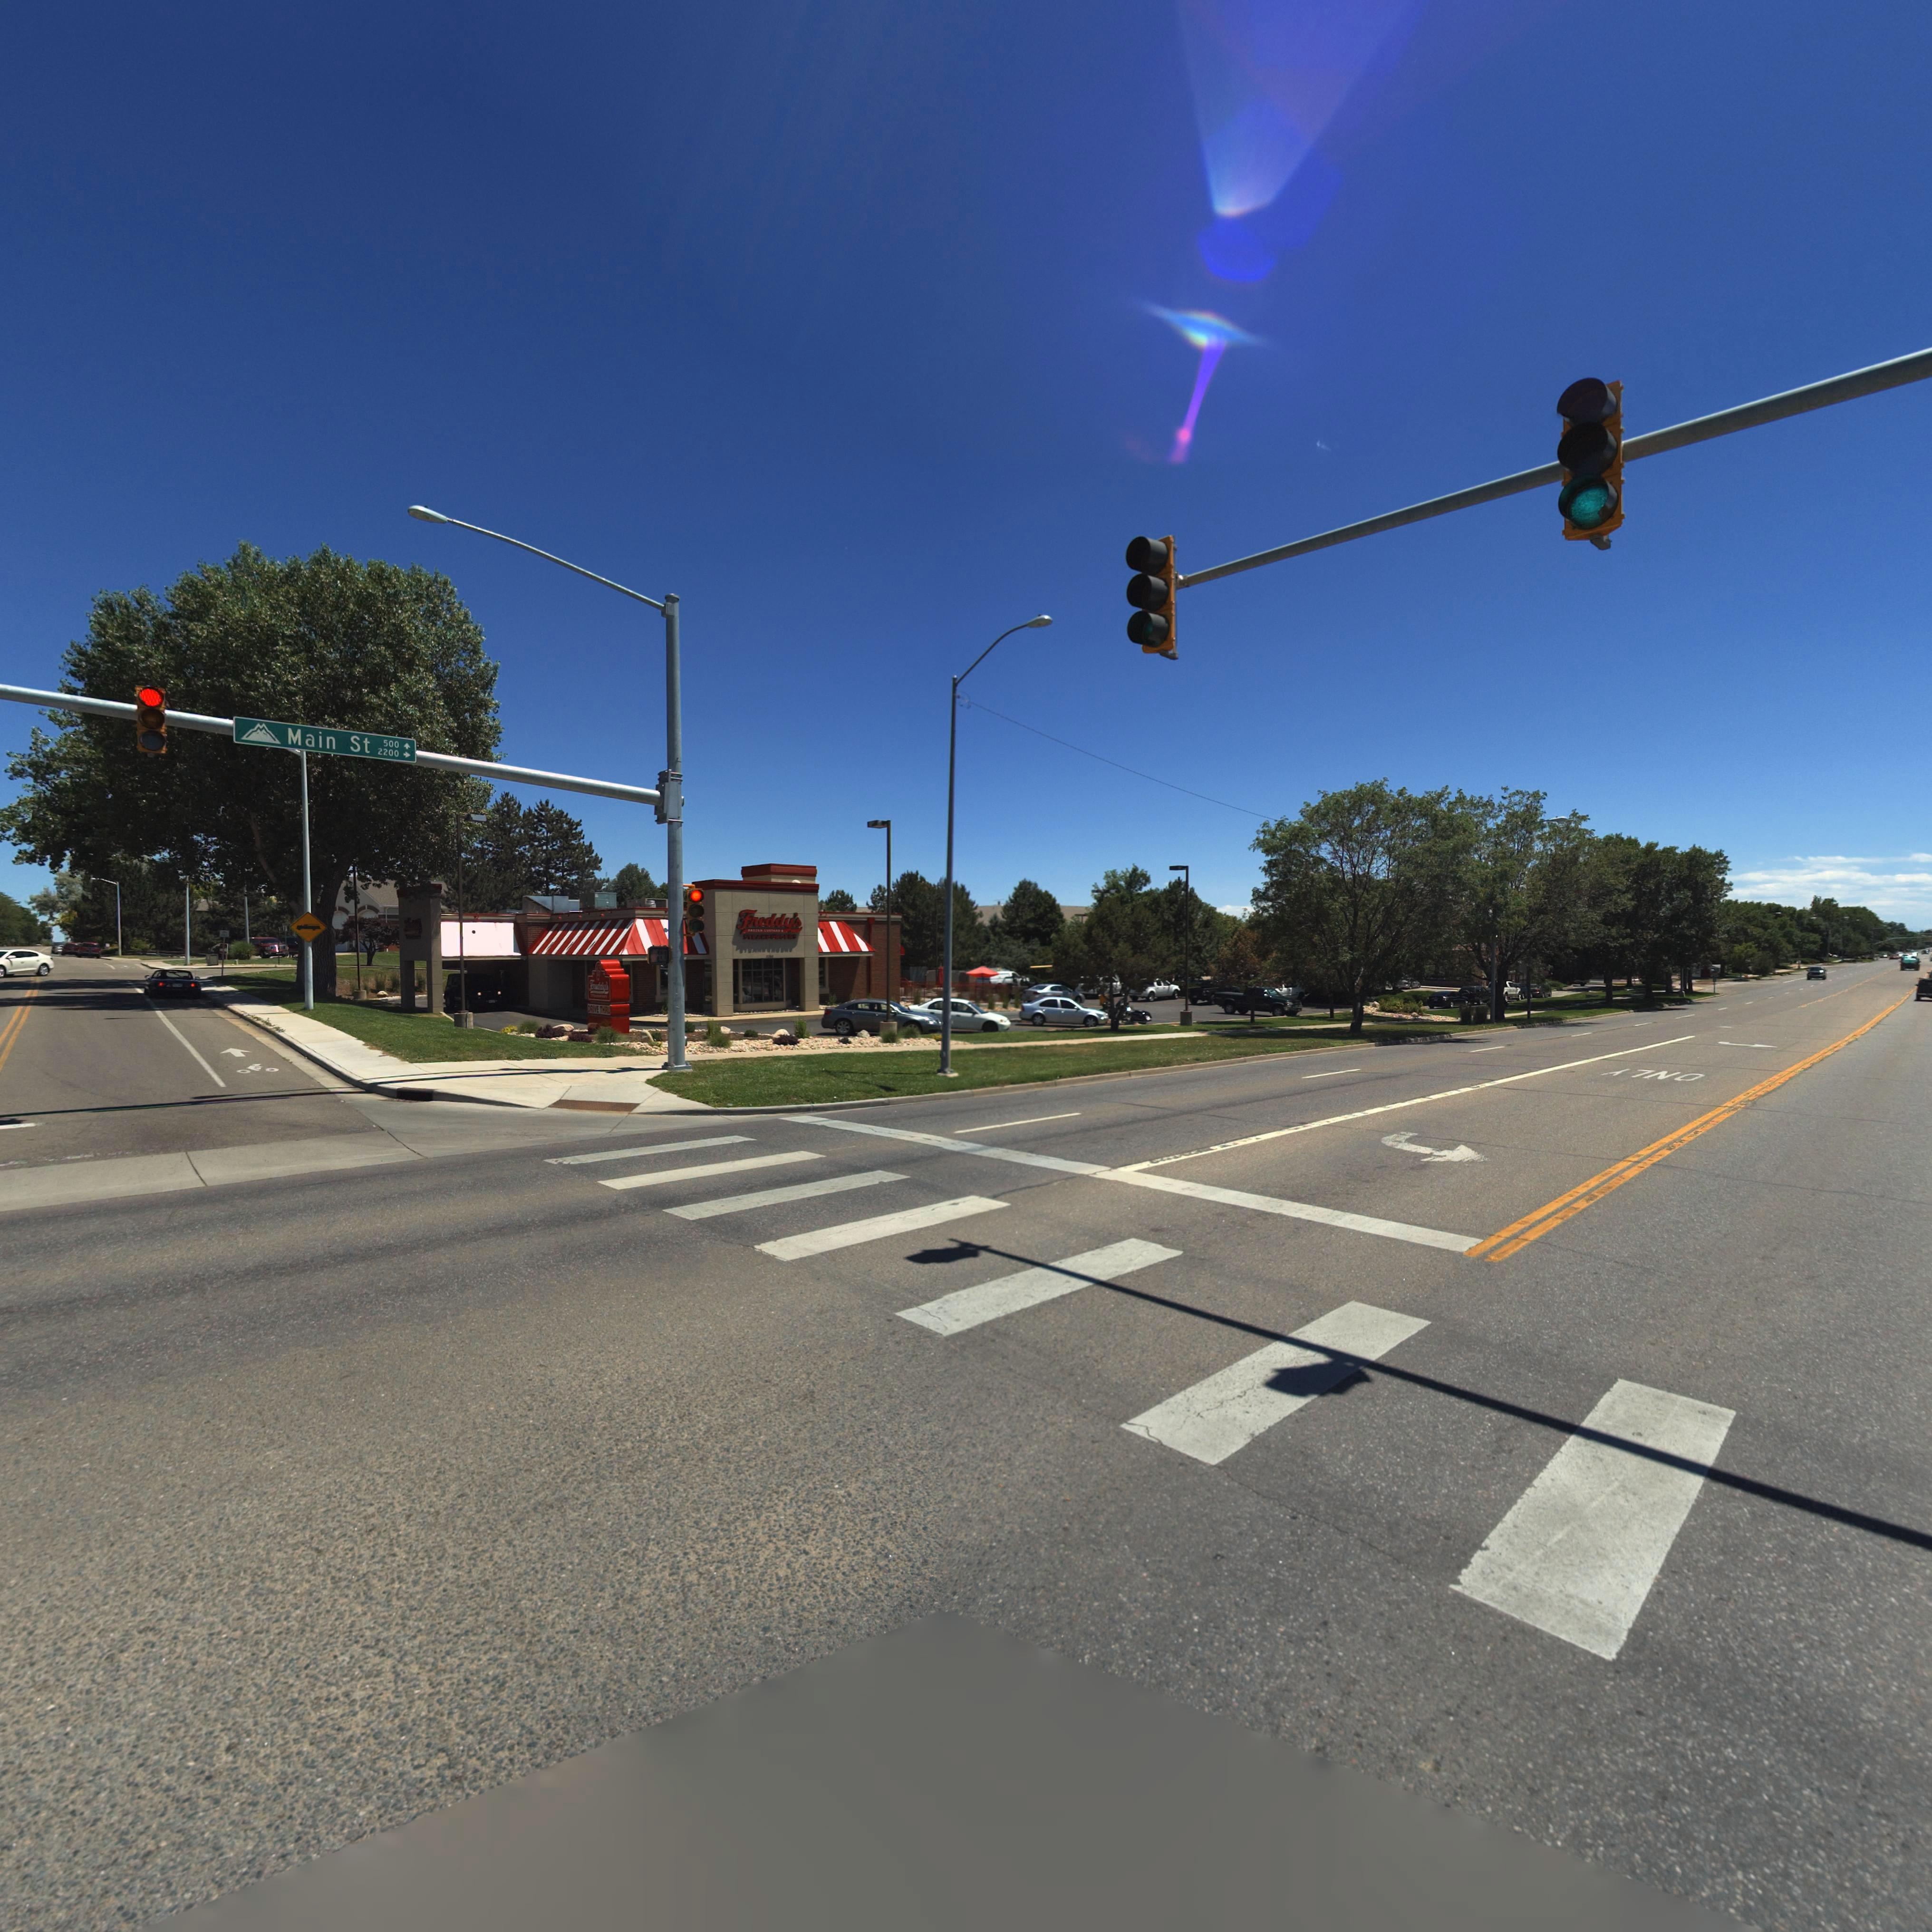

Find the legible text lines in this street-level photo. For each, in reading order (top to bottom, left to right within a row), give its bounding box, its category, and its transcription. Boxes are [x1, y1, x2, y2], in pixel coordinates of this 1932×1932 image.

[287, 727, 370, 754] StreetName: Main St
[382, 739, 399, 748] StreetNumberRange: 500
[377, 747, 412, 758] StreetNumberRange: 2200->
[736, 908, 803, 933] BusinessName: Freddy's
[589, 979, 609, 994] BusinessName: Freddy's